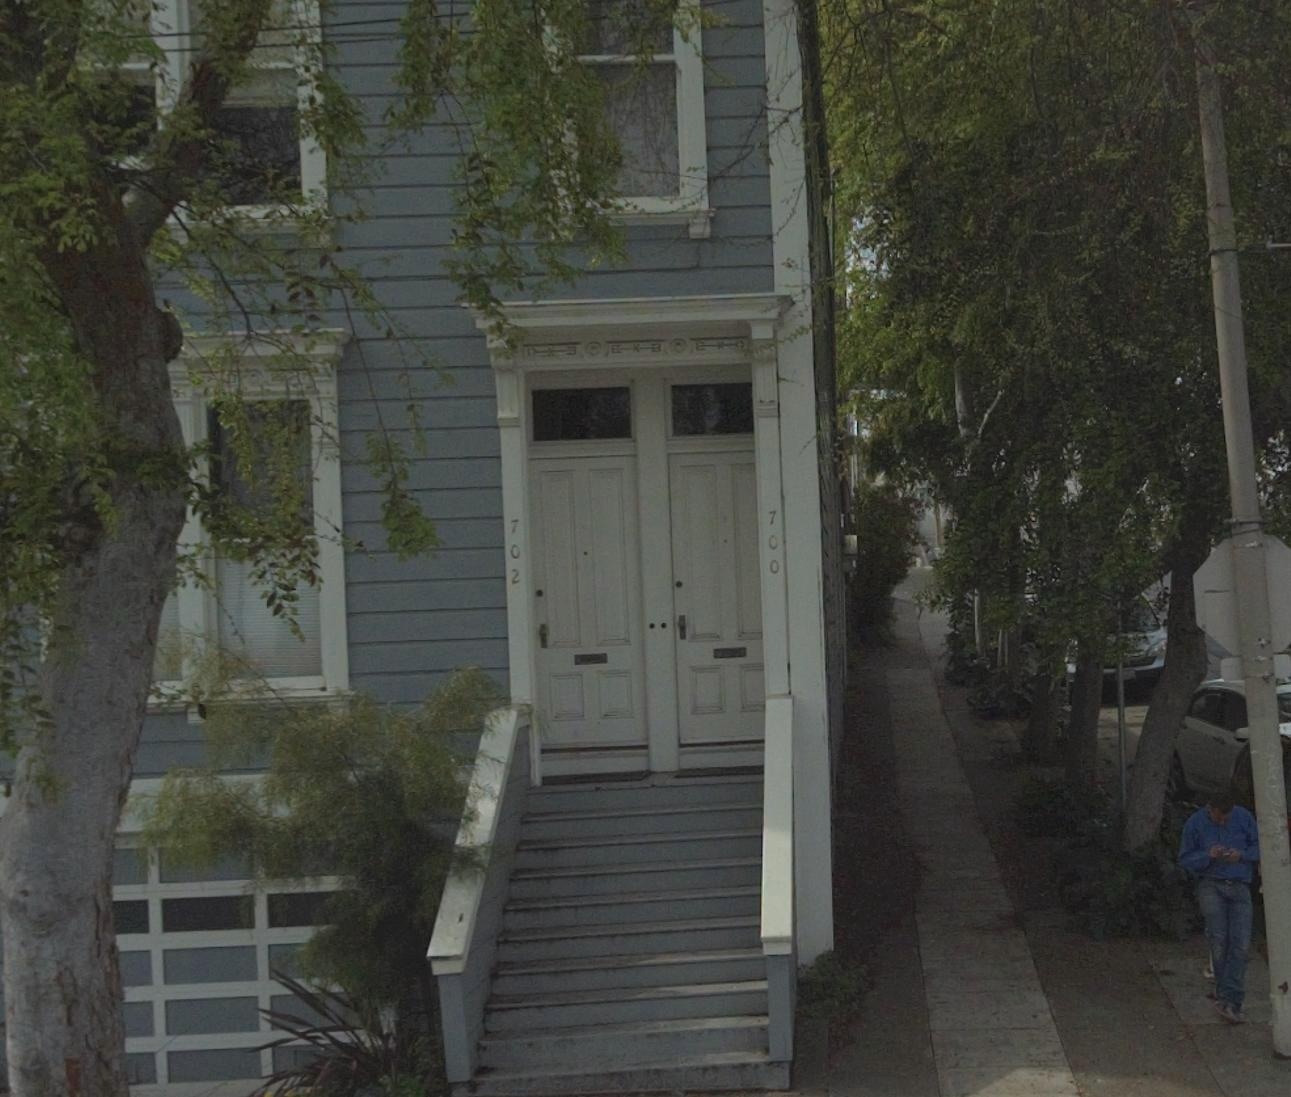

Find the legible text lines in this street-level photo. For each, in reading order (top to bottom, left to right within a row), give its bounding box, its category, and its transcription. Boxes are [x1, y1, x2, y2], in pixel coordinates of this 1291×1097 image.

[509, 517, 522, 587] StreetNumber: 702
[766, 508, 781, 576] StreetNumber: 700